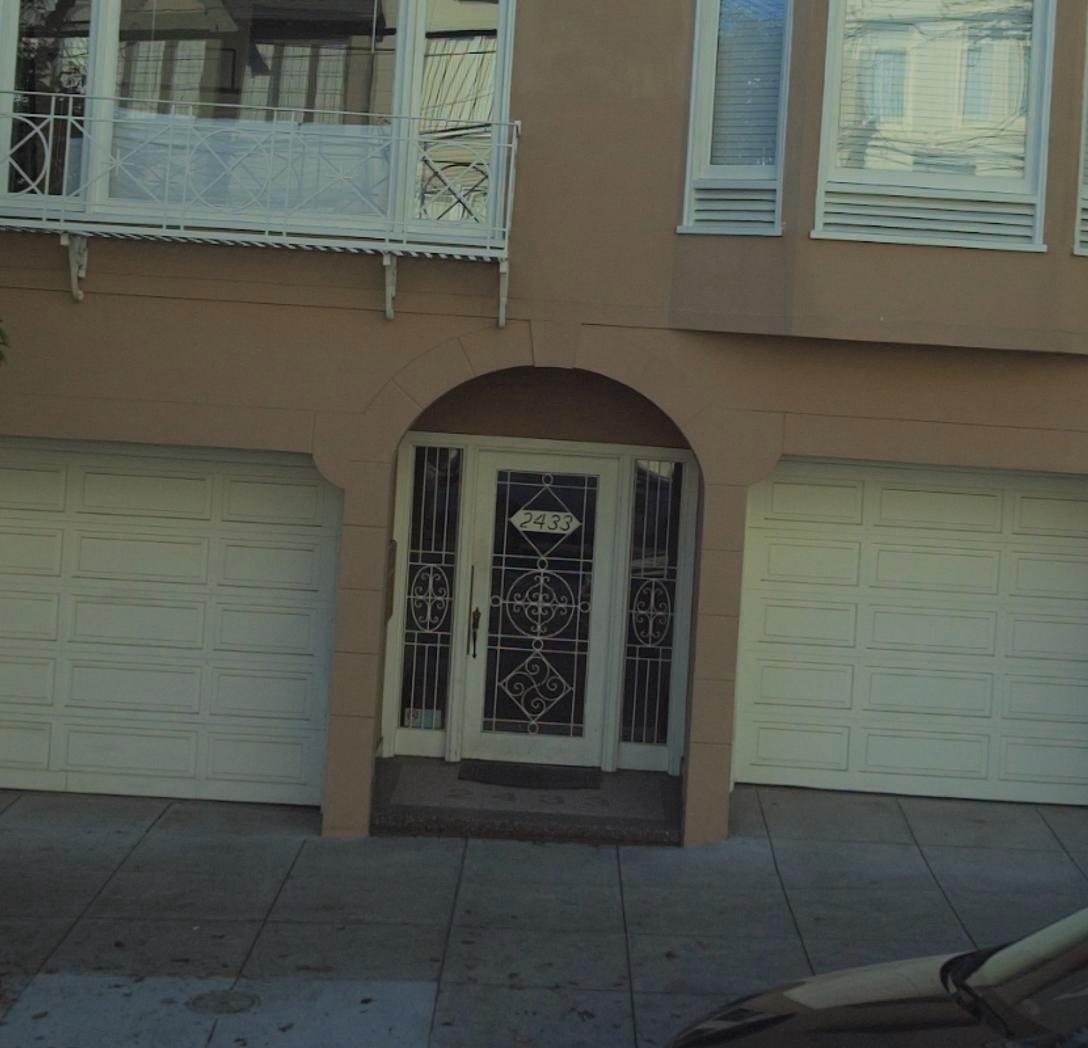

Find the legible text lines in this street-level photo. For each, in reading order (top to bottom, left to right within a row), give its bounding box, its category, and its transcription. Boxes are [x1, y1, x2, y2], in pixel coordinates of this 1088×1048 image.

[515, 509, 579, 532] StreetNumber: 2433